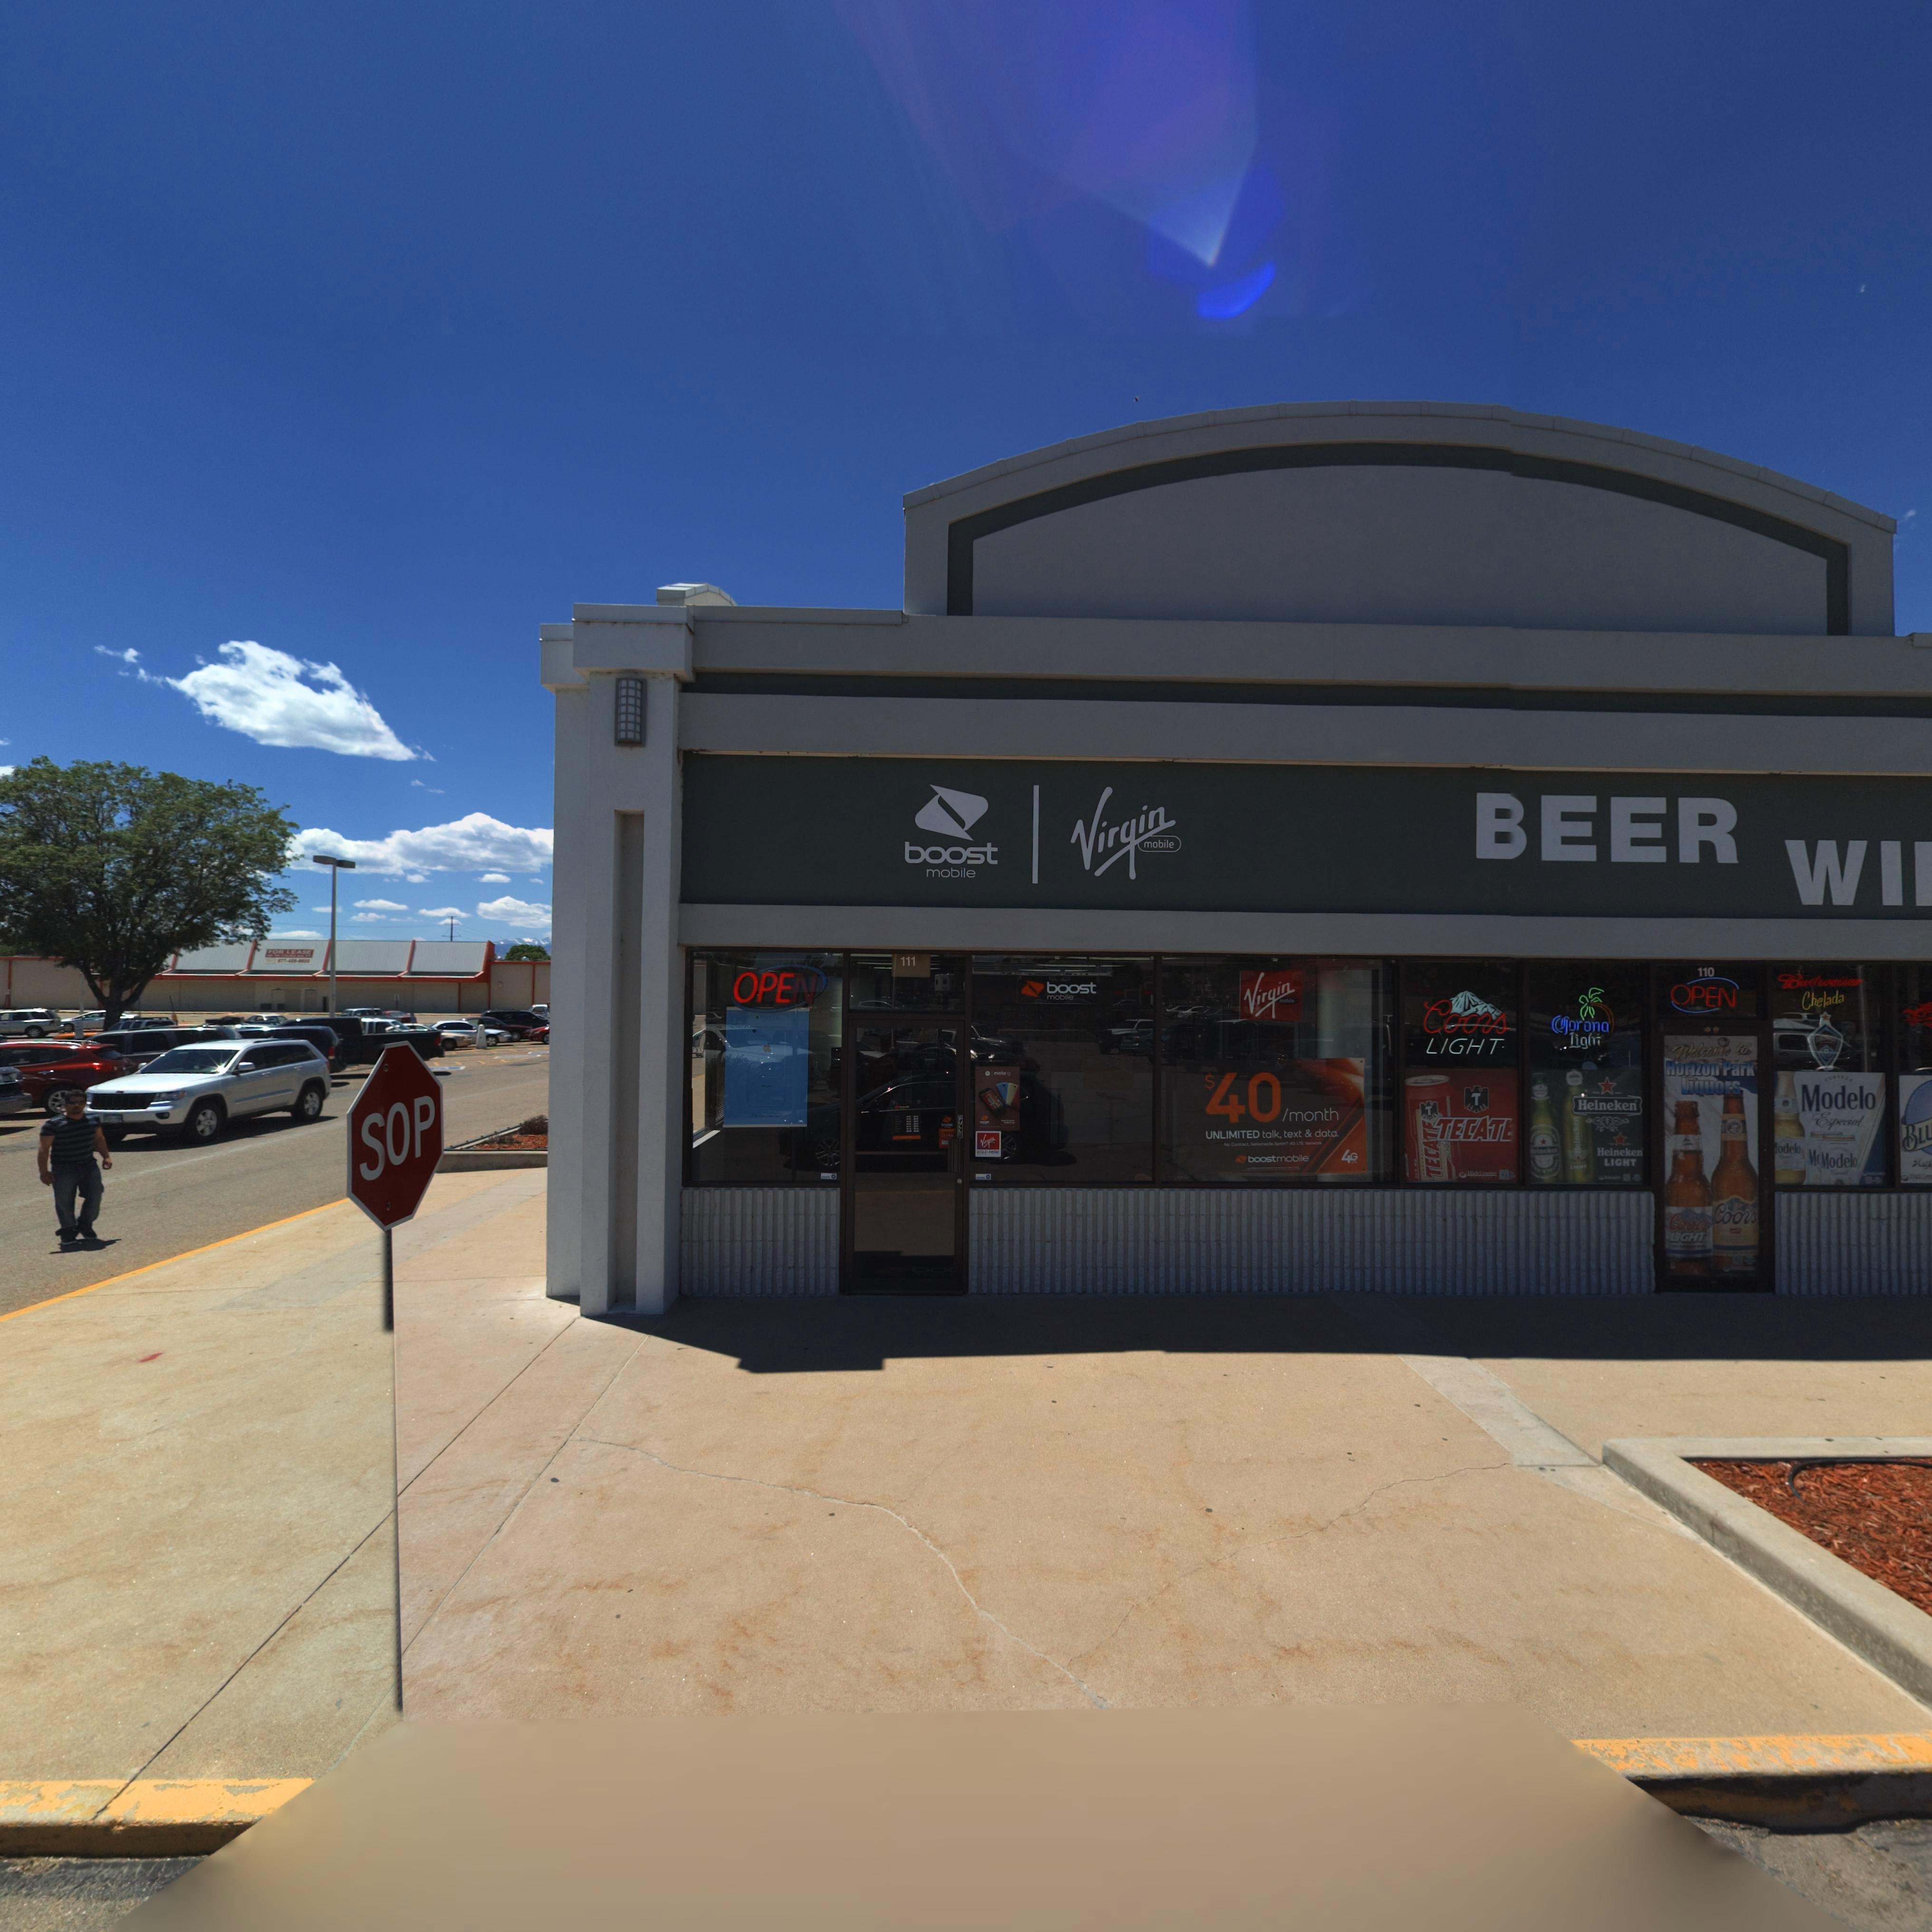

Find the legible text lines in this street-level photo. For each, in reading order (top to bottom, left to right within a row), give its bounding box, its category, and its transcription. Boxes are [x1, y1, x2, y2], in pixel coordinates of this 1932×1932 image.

[1070, 786, 1177, 880] BusinessName: Virgin
[1144, 839, 1175, 849] BusinessName: mobile
[904, 841, 998, 865] BusinessName: boost
[926, 867, 976, 878] BusinessName: mobile
[899, 956, 915, 966] StreetNumber: 111
[1696, 966, 1714, 977] StreetNumber: 110
[1046, 981, 1097, 994] BusinessName: boost
[1047, 994, 1074, 1000] BusinessName: mobile
[1243, 972, 1295, 1018] BusinessName: Virgin
[1279, 998, 1294, 1003] BusinessName: mobile
[1665, 1060, 1756, 1077] BusinessName: Horizon Park
[1680, 1077, 1741, 1097] BusinessName: Liquors
[941, 1123, 953, 1126] BusinessName: boost
[979, 1120, 989, 1123] BusinessName: boost
[979, 1133, 995, 1148] BusinessName: Virgin
[1247, 1154, 1309, 1163] BusinessName: boost mobile